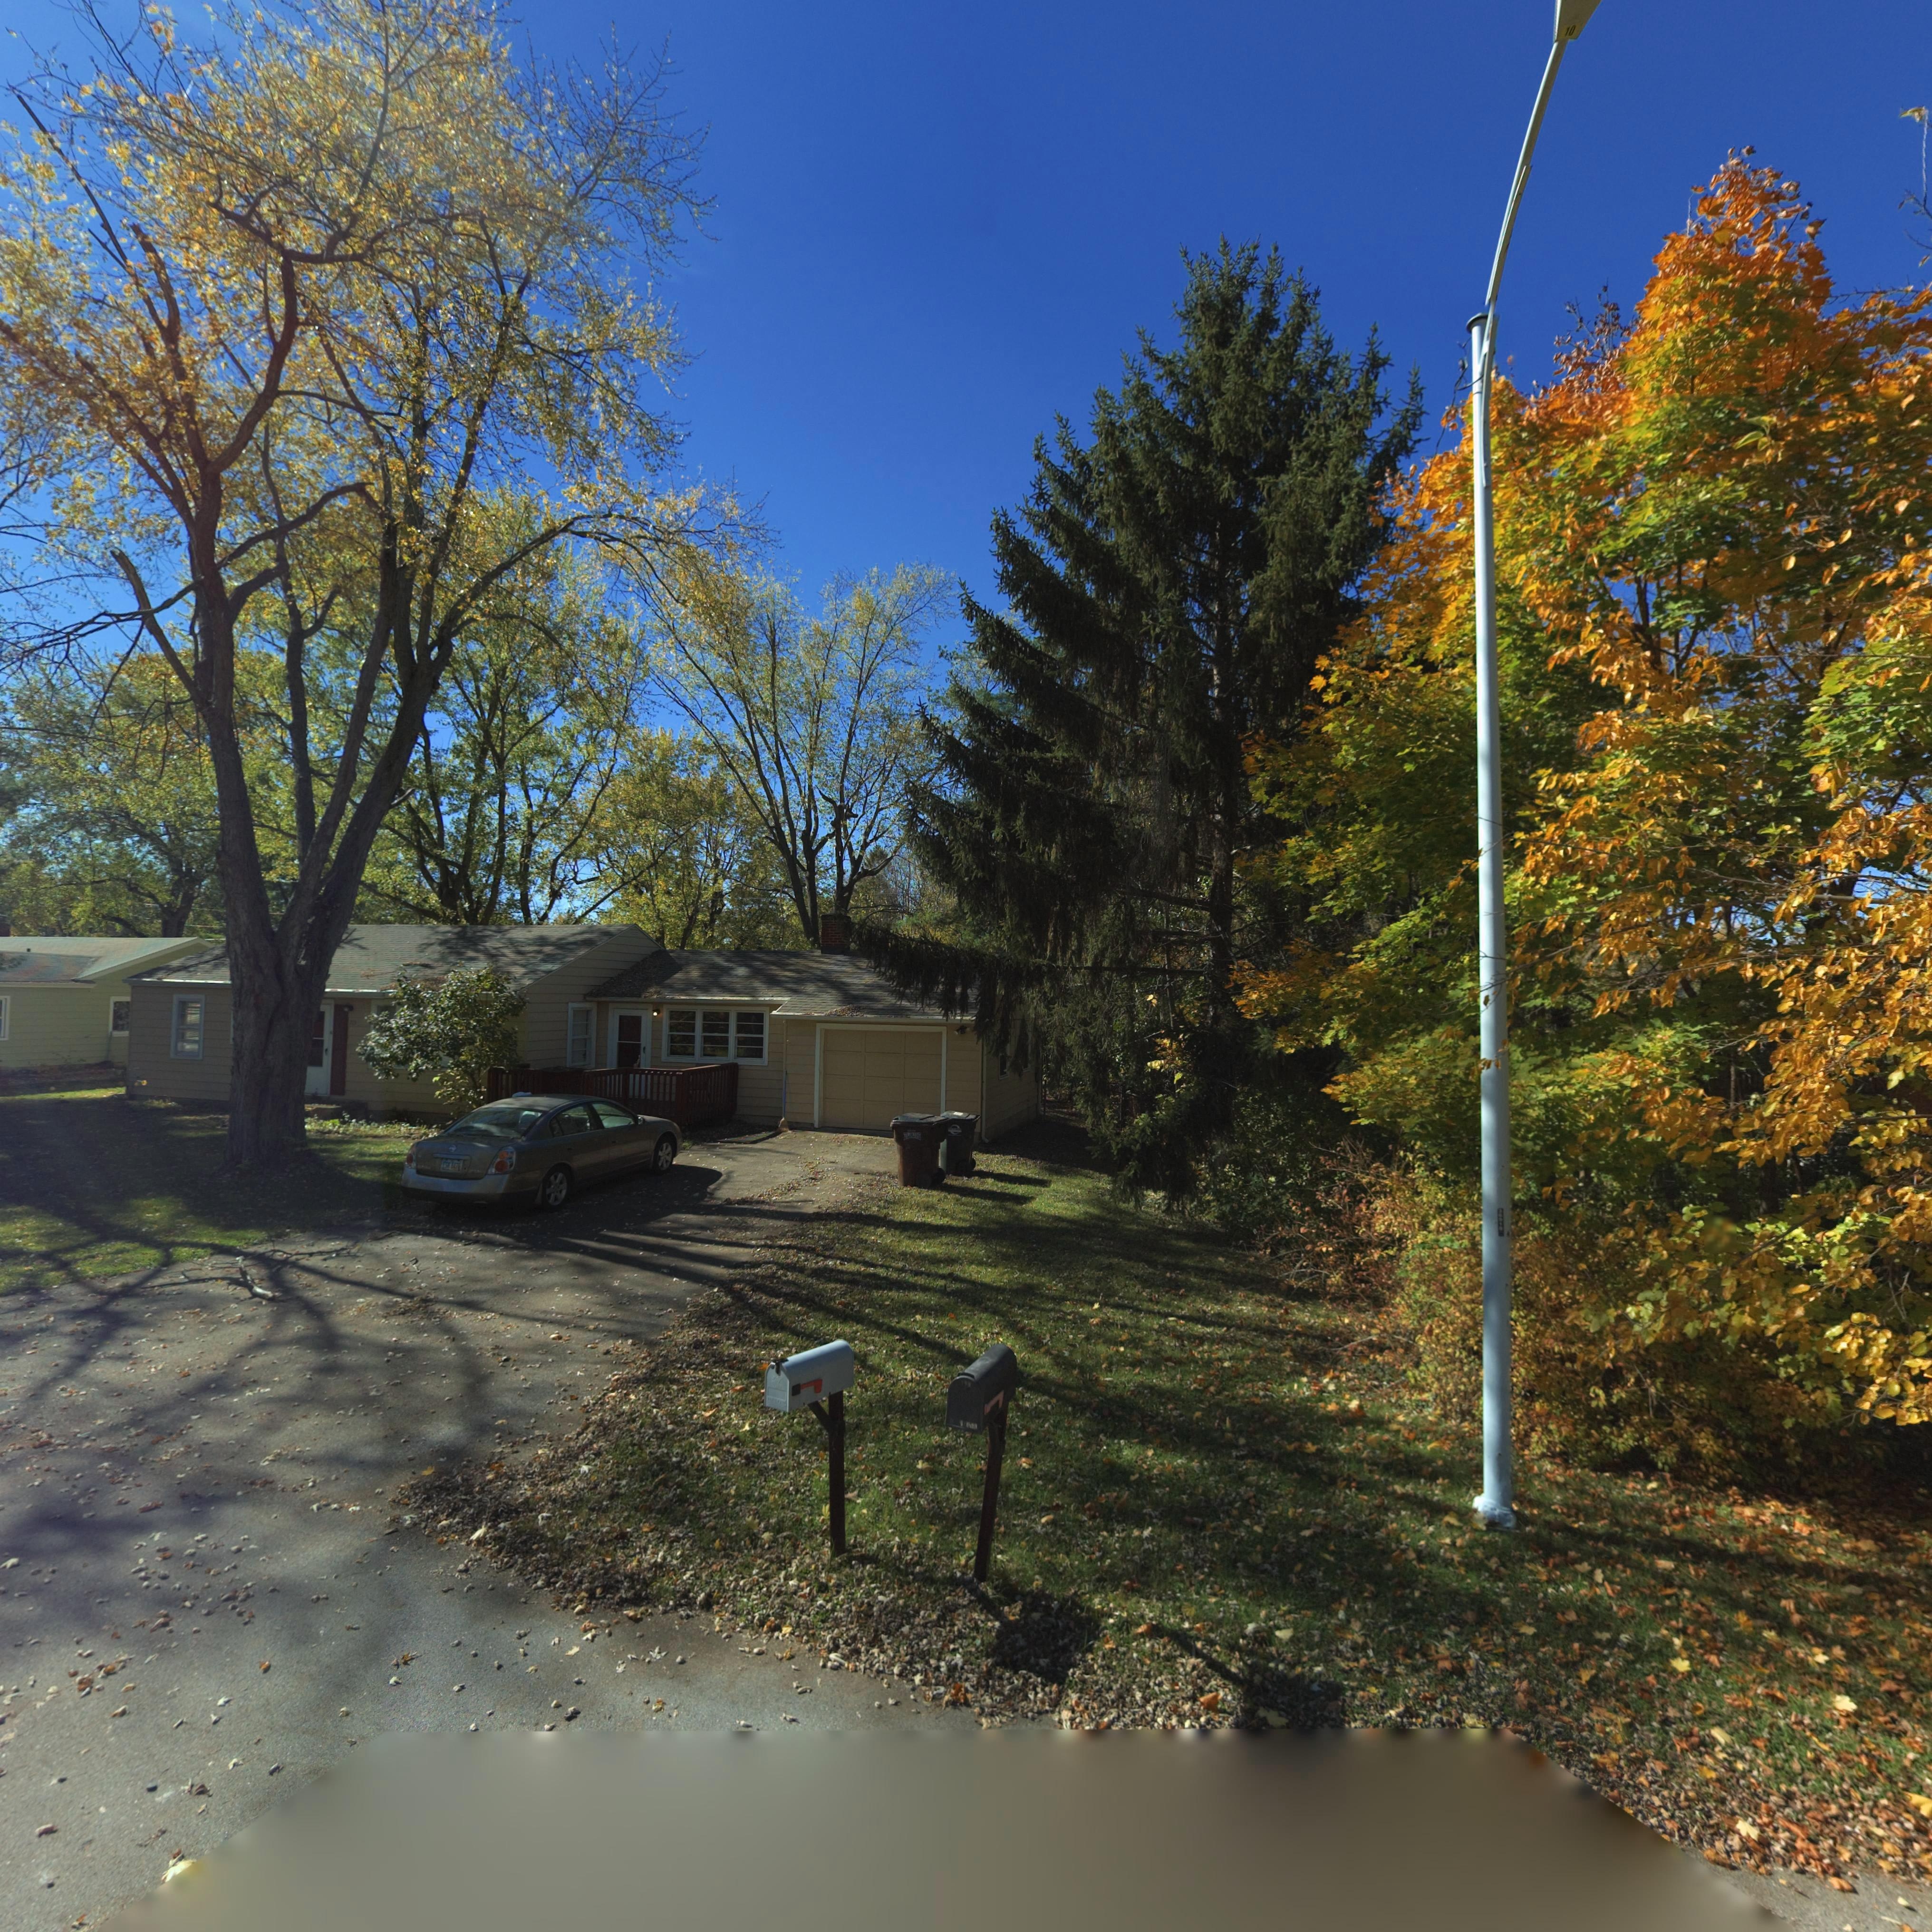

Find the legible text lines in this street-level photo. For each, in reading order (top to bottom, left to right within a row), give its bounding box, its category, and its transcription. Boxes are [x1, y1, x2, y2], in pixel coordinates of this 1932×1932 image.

[348, 1020, 357, 1025] StreetNumber: 71*